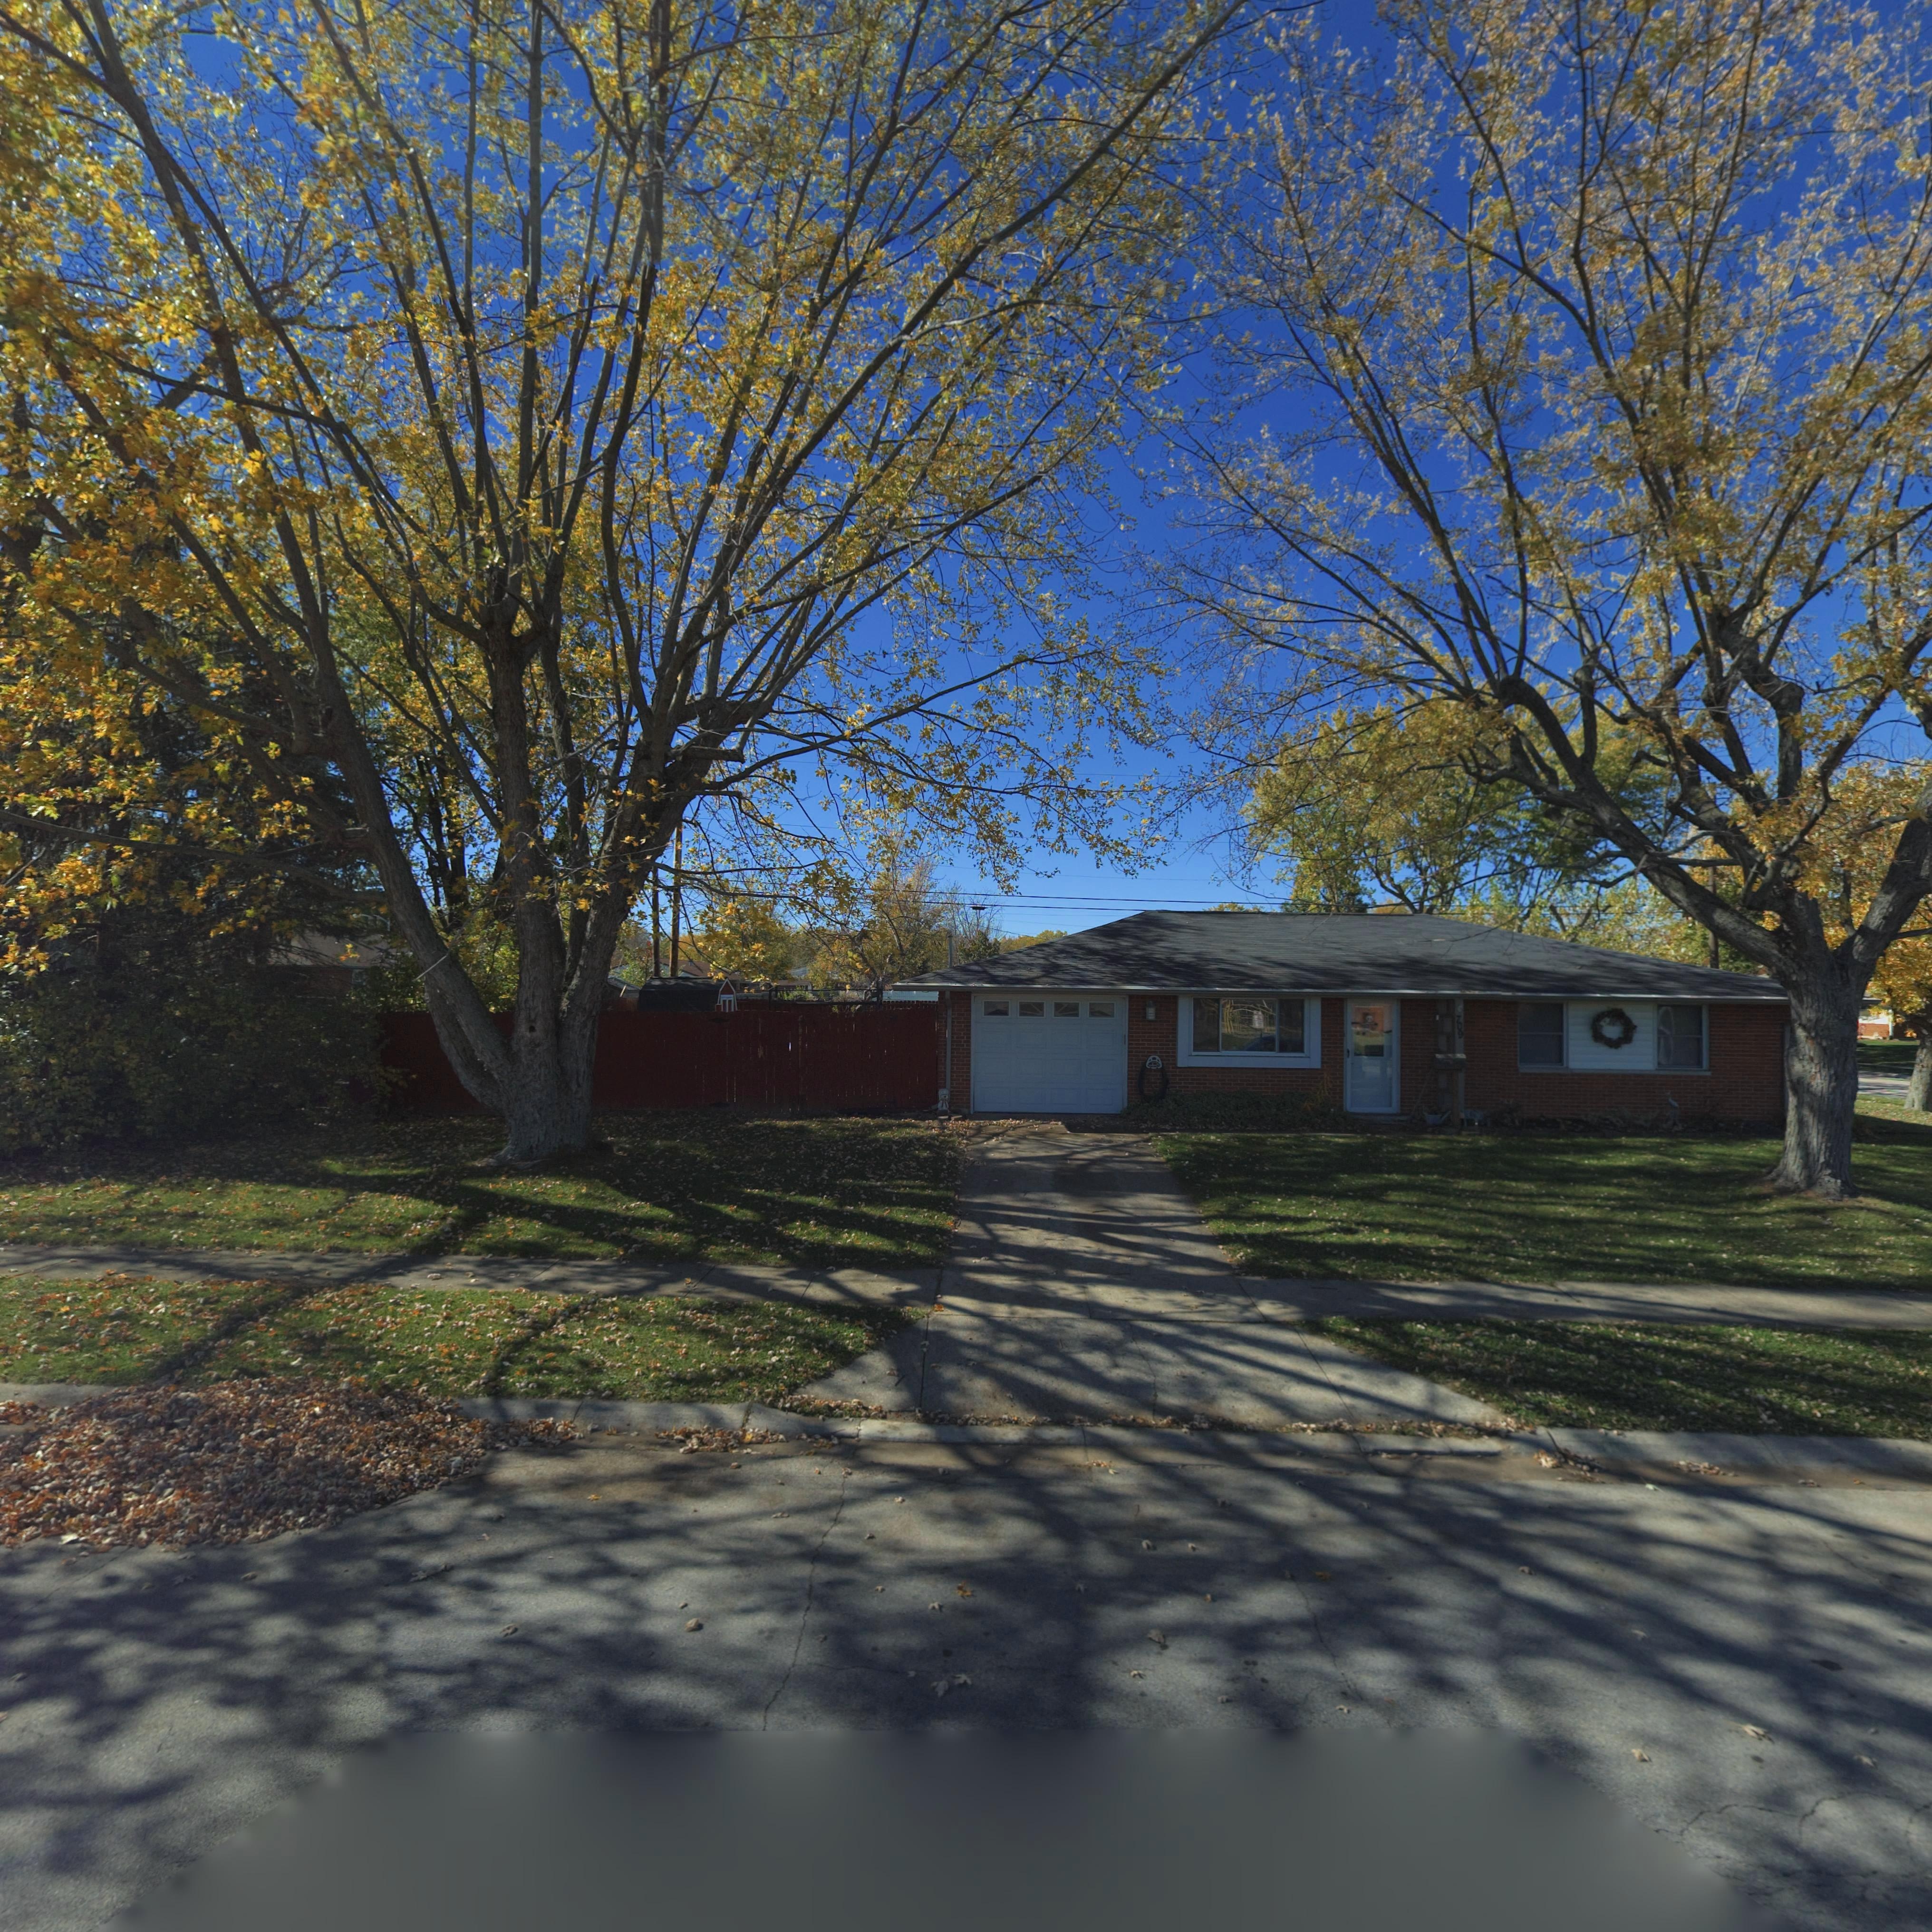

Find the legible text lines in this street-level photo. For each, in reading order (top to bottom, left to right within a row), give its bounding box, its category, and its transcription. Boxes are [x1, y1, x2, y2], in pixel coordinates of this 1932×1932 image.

[1454, 1014, 1465, 1040] StreetNumber: 709